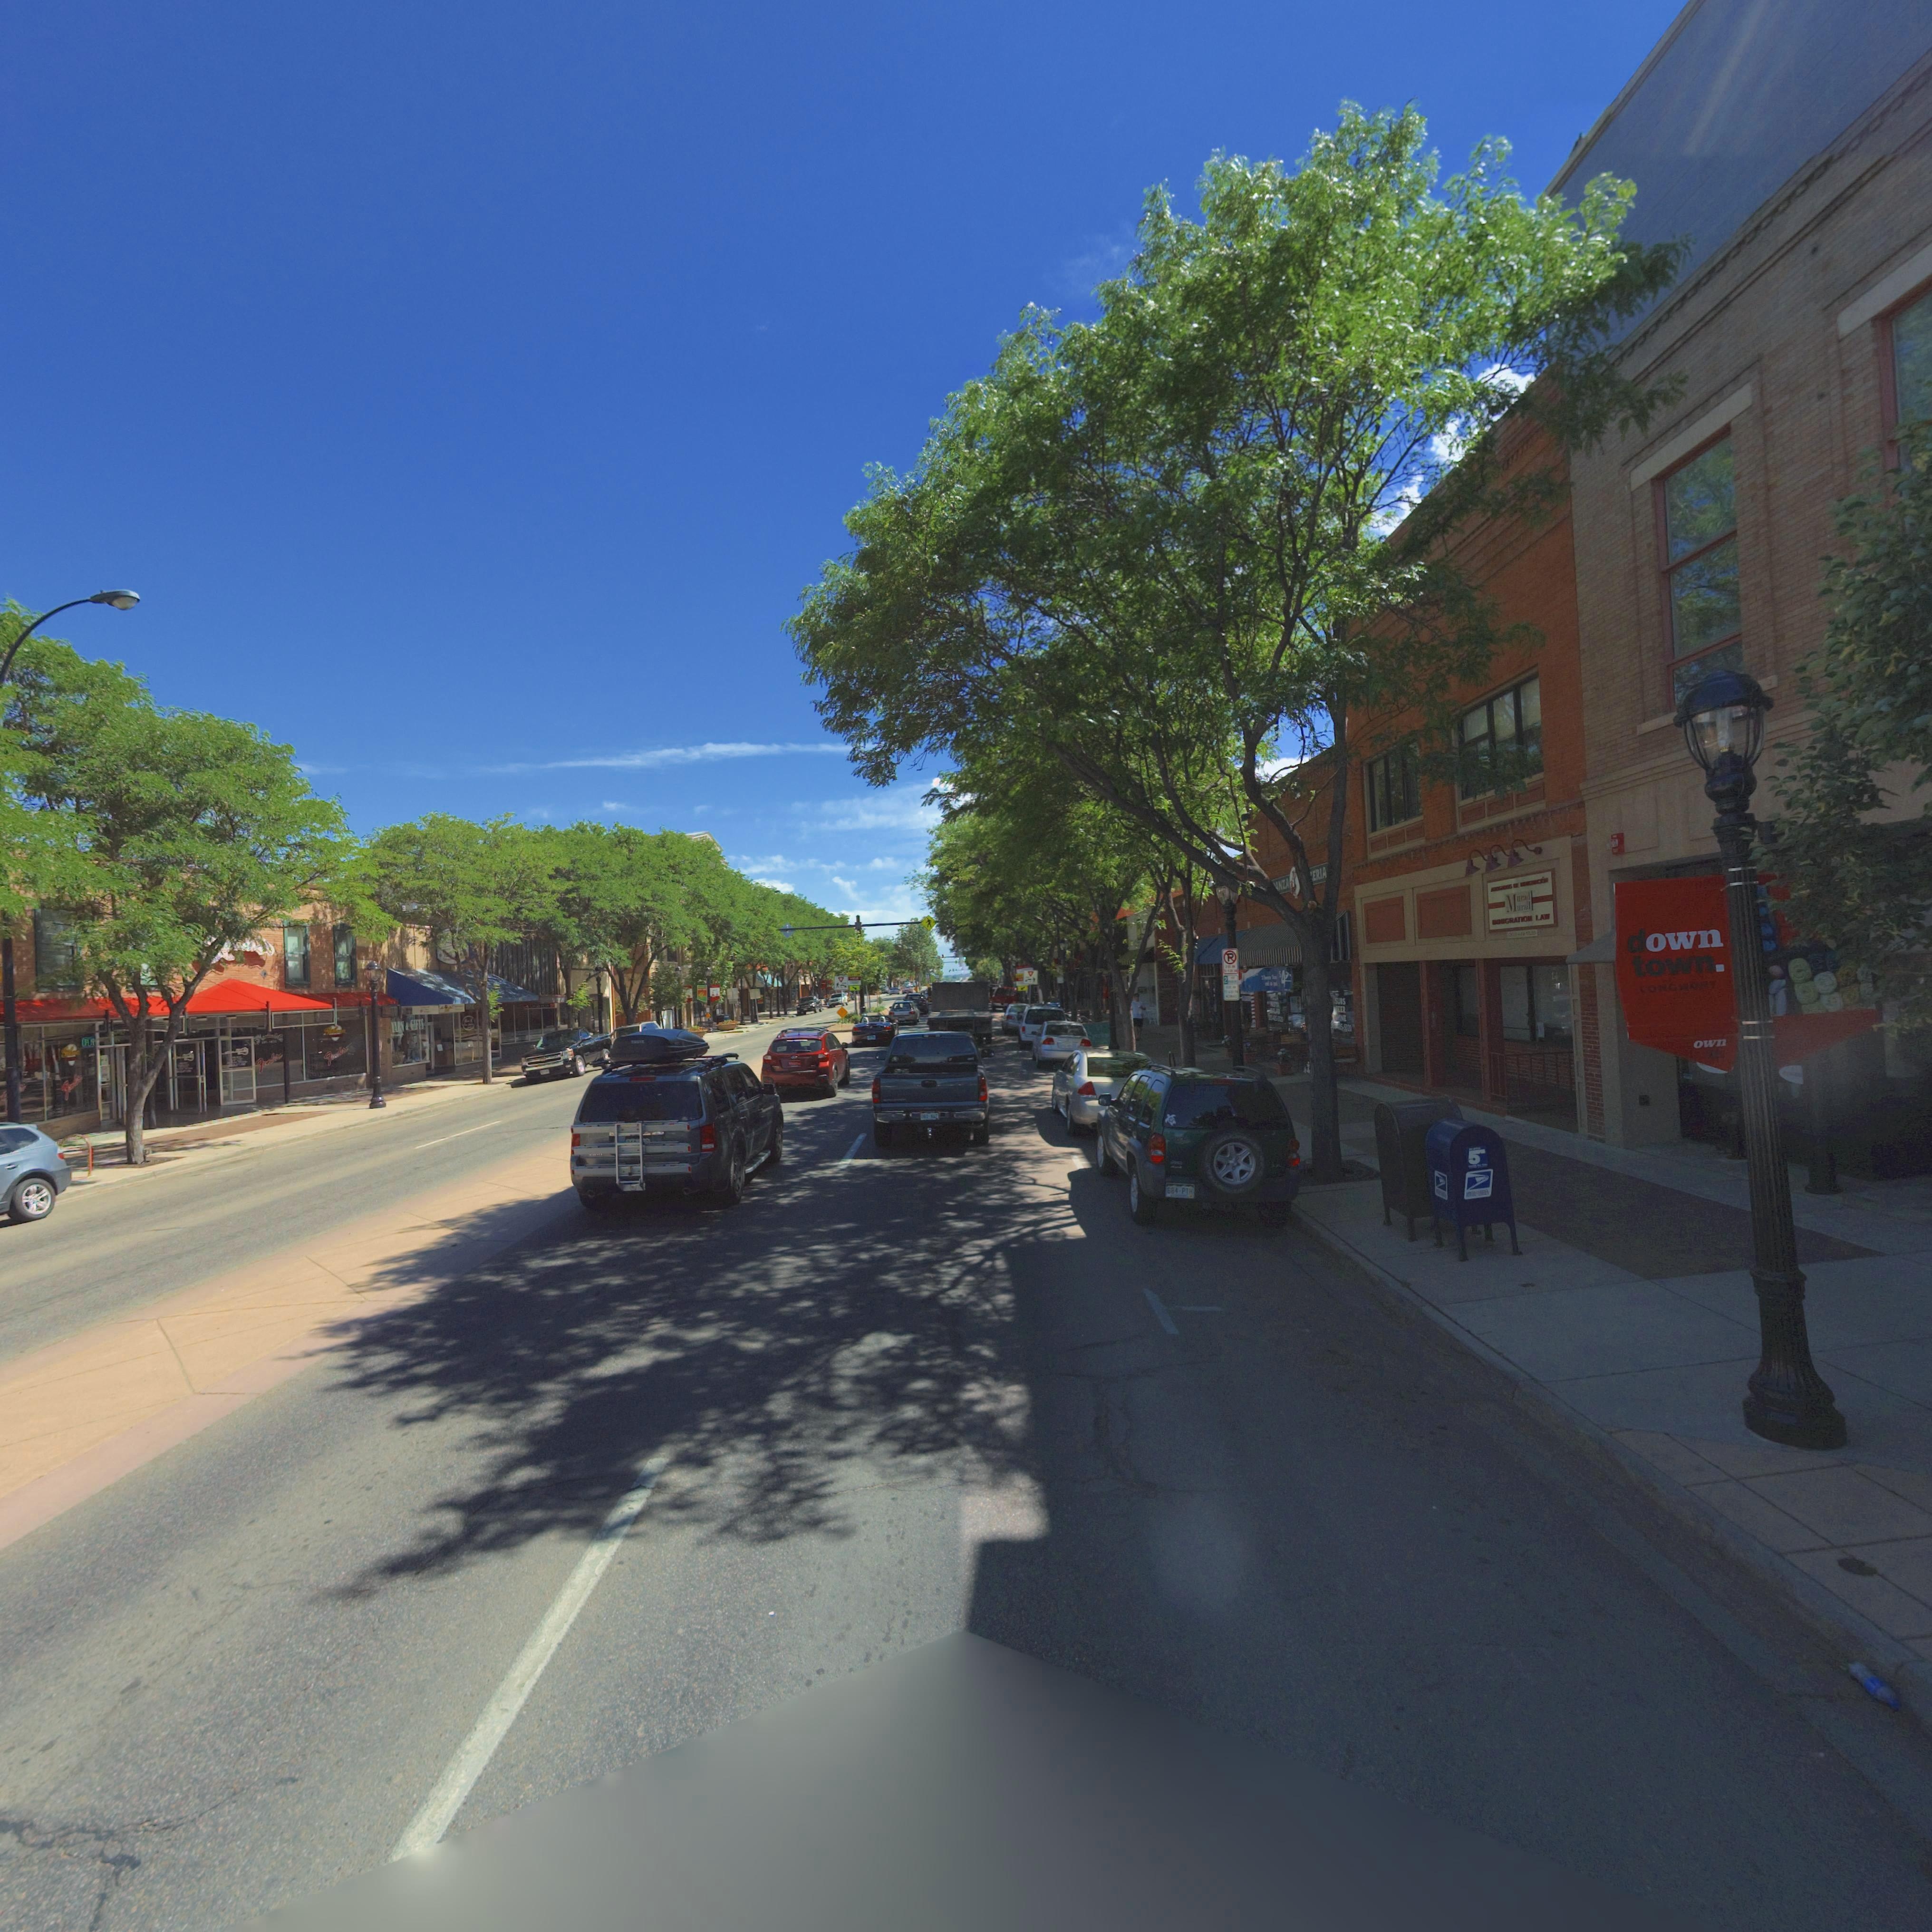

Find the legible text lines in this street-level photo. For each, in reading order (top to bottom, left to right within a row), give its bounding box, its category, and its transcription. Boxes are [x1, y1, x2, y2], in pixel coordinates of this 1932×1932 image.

[1312, 866, 1328, 881] BusinessName: ERIA
[1278, 878, 1290, 890] BusinessName: NZA
[1490, 877, 1548, 892] BusinessName: ********S DE *****CI*N
[1506, 894, 1517, 912] BusinessName: M
[1517, 891, 1530, 902] BusinessName: u**ad
[1517, 900, 1531, 911] BusinessName: urad
[1491, 913, 1550, 925] BusinessName: ***GRATION LAW